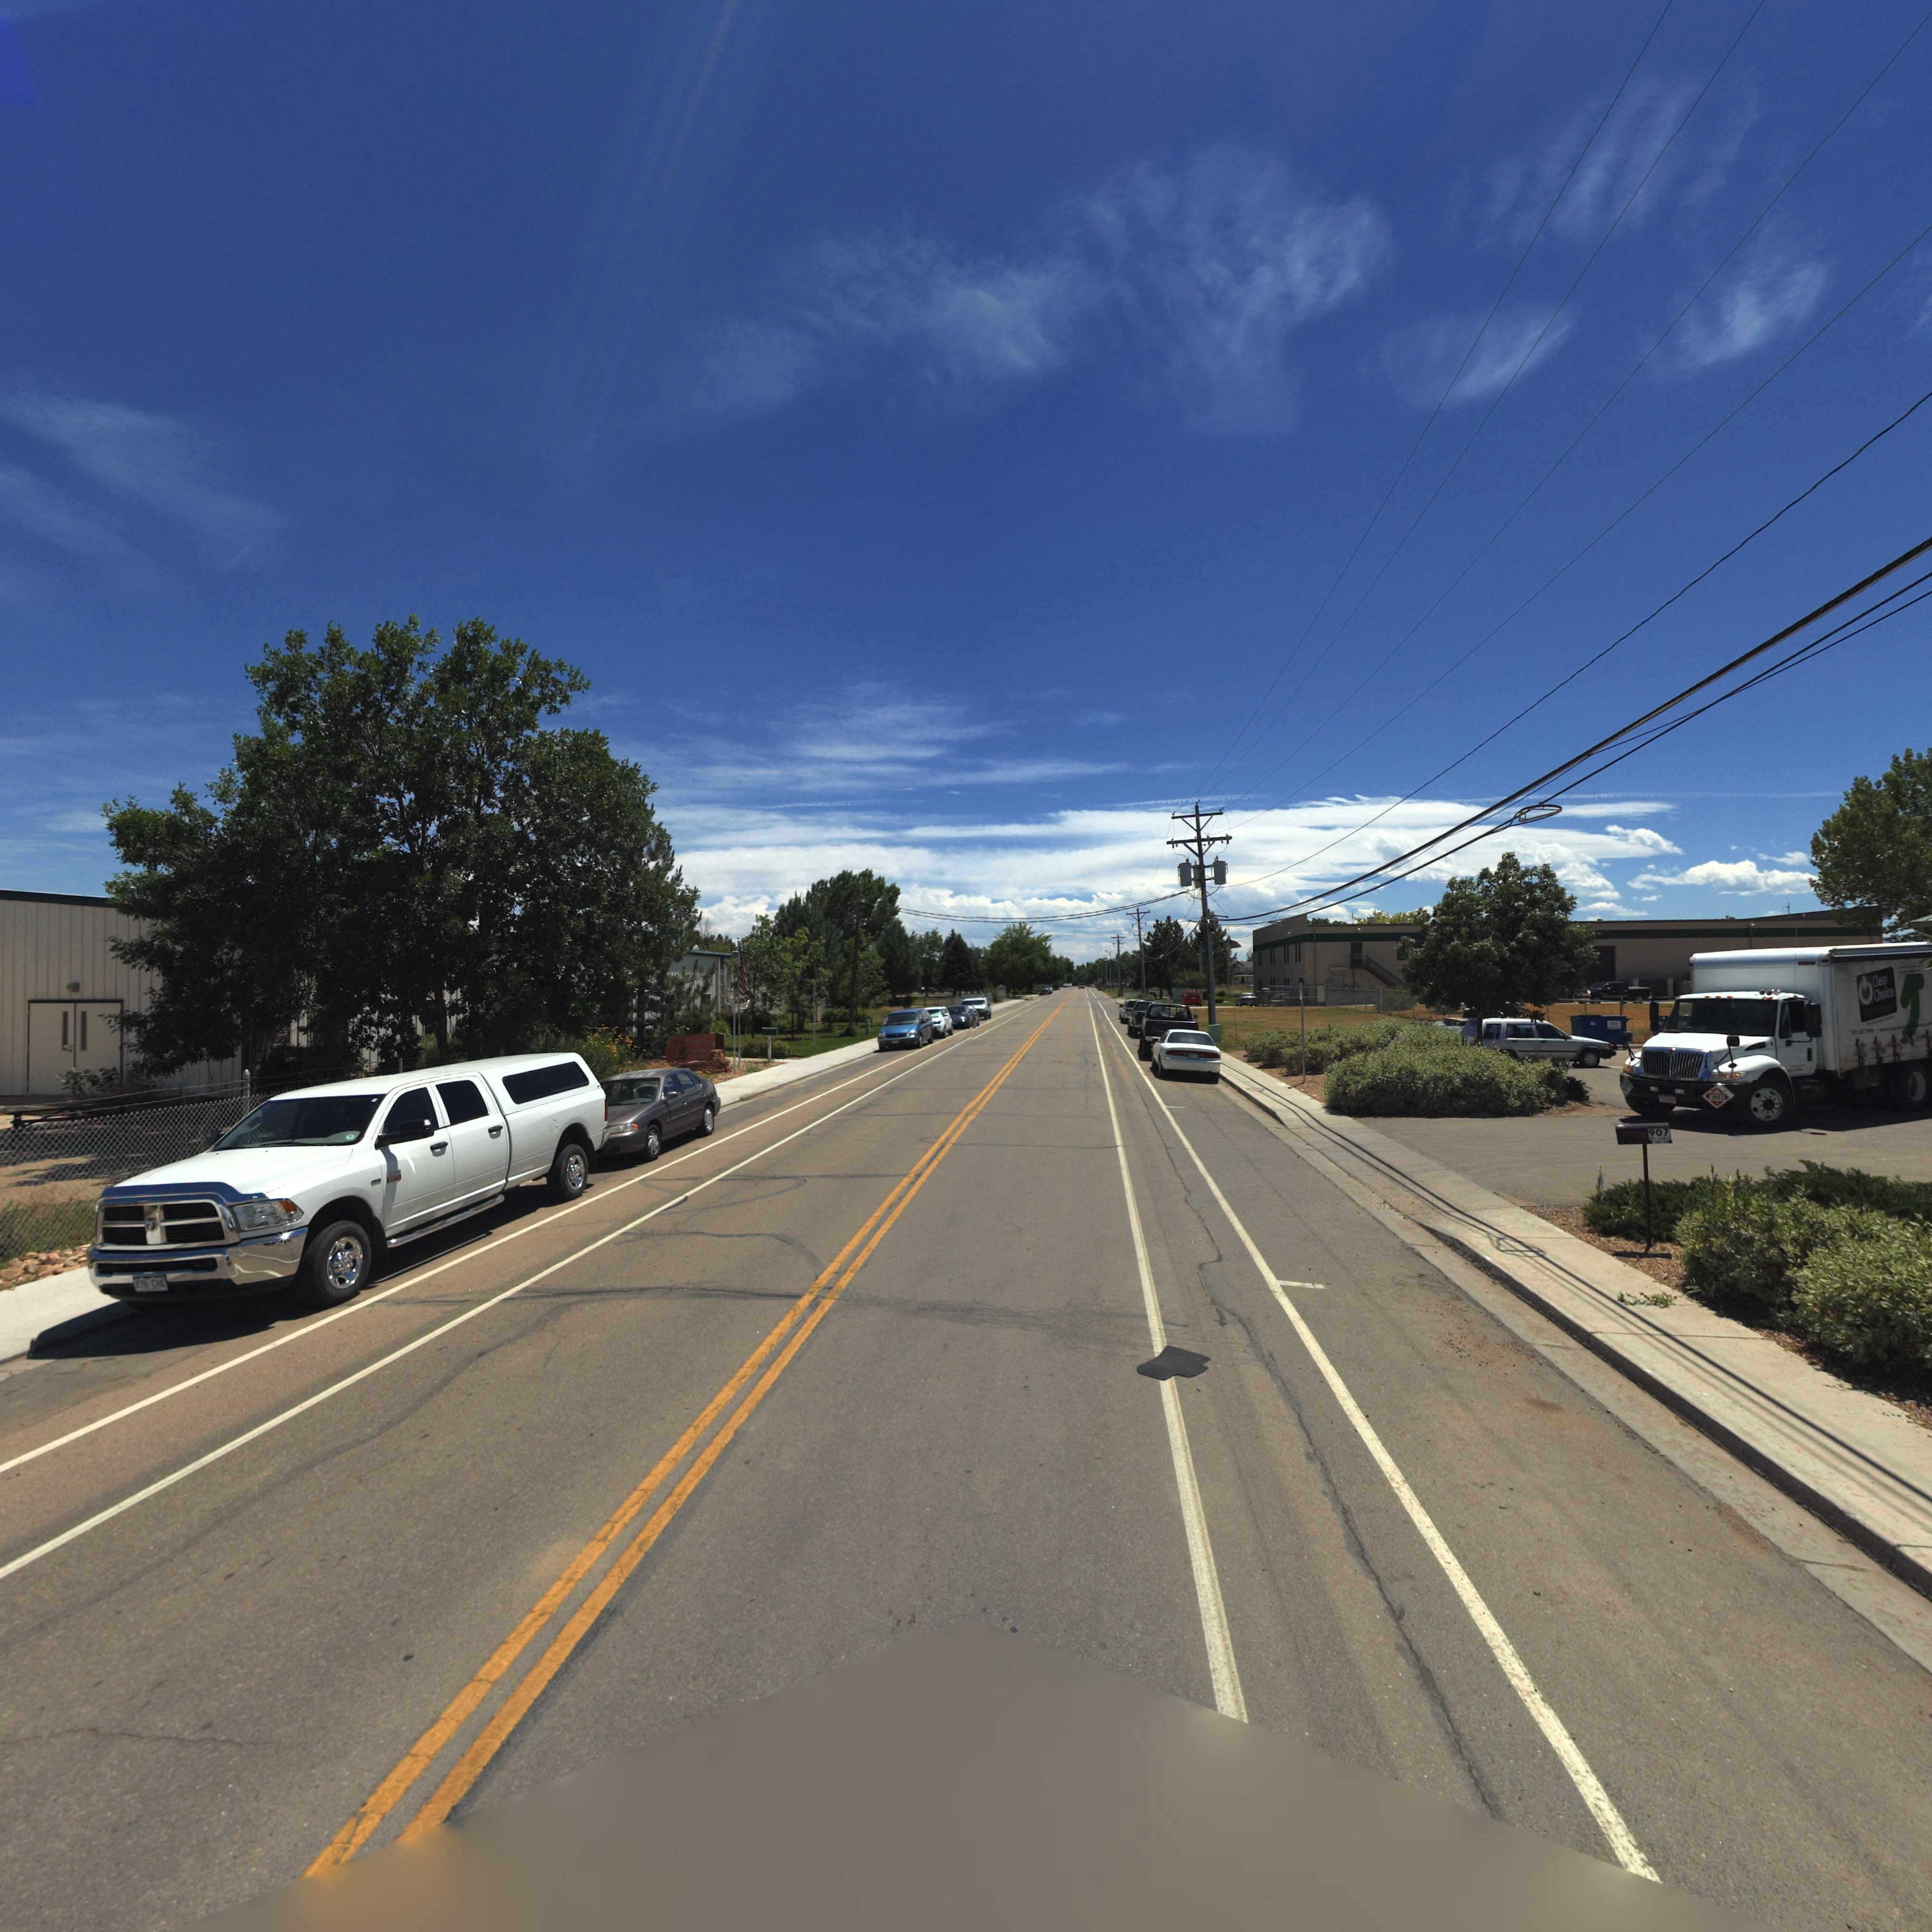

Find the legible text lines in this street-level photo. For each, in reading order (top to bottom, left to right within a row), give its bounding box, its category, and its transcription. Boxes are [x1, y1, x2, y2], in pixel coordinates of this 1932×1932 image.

[1648, 1128, 1669, 1136] StreetNumber: 907